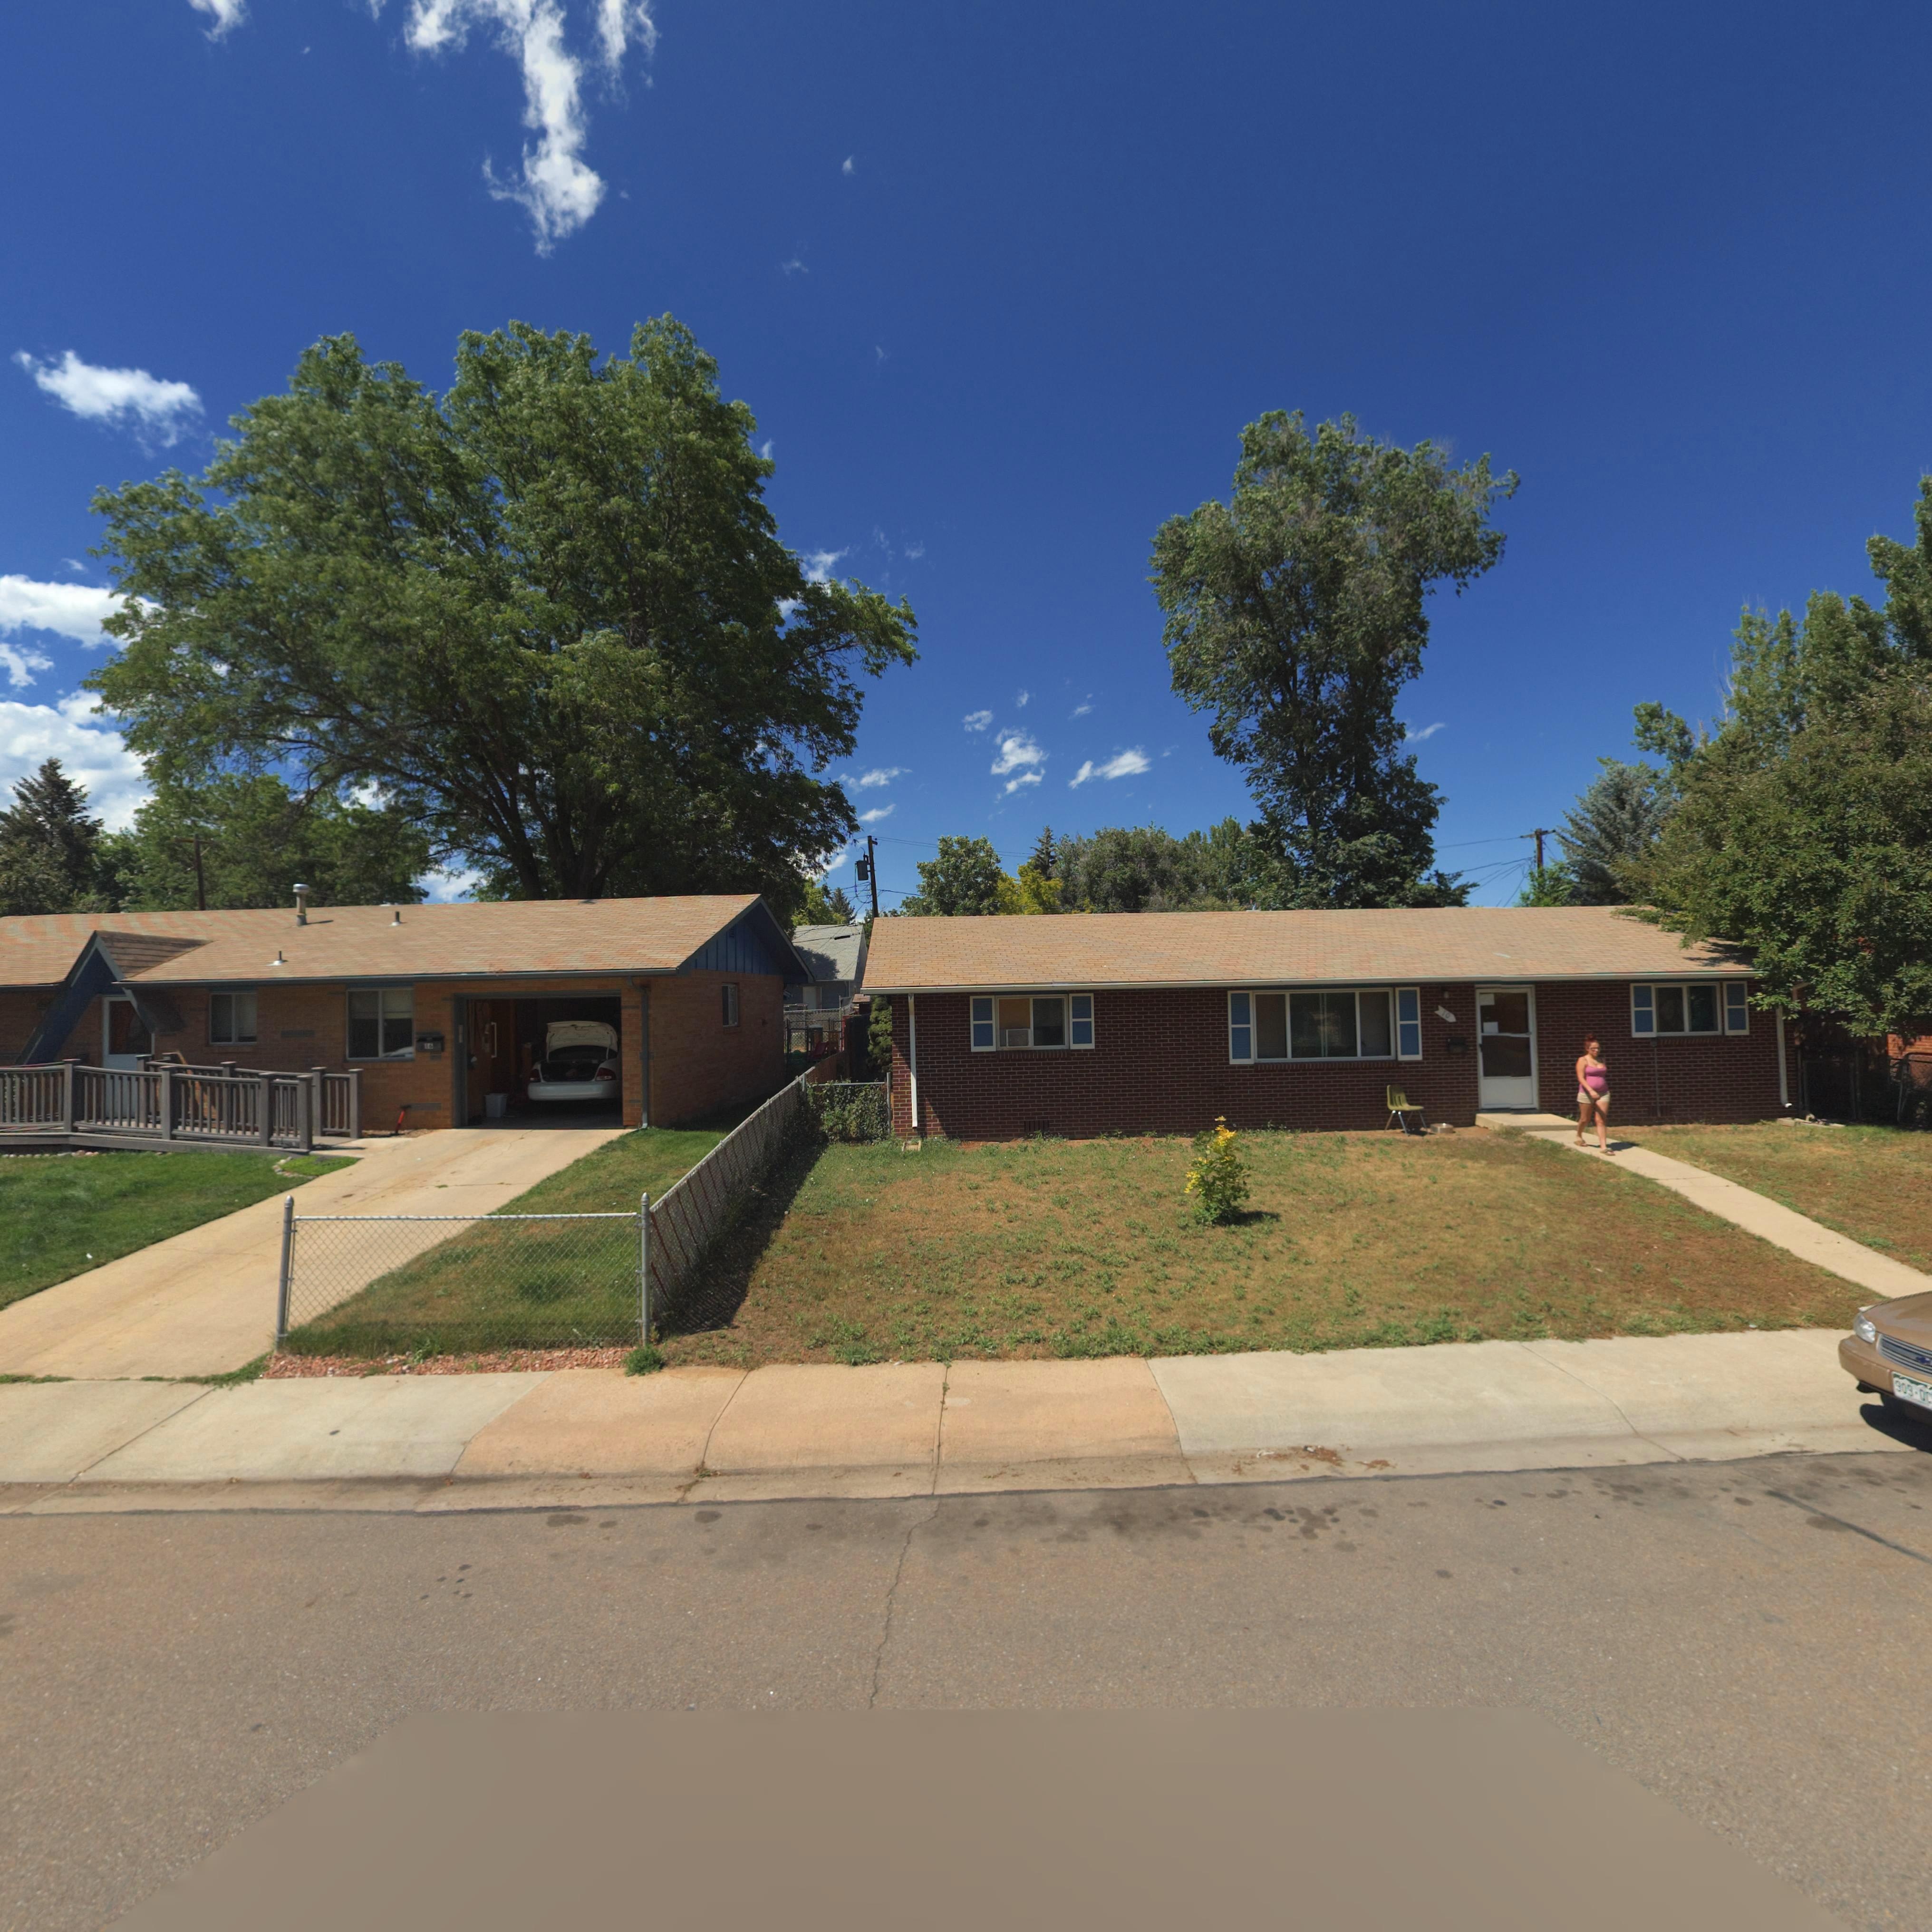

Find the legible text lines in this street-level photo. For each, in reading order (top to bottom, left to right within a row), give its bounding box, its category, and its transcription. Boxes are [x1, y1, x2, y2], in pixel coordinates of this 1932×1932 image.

[1441, 1009, 1451, 1019] StreetNumber: 10
[425, 1043, 433, 1049] StreetNumber: 16